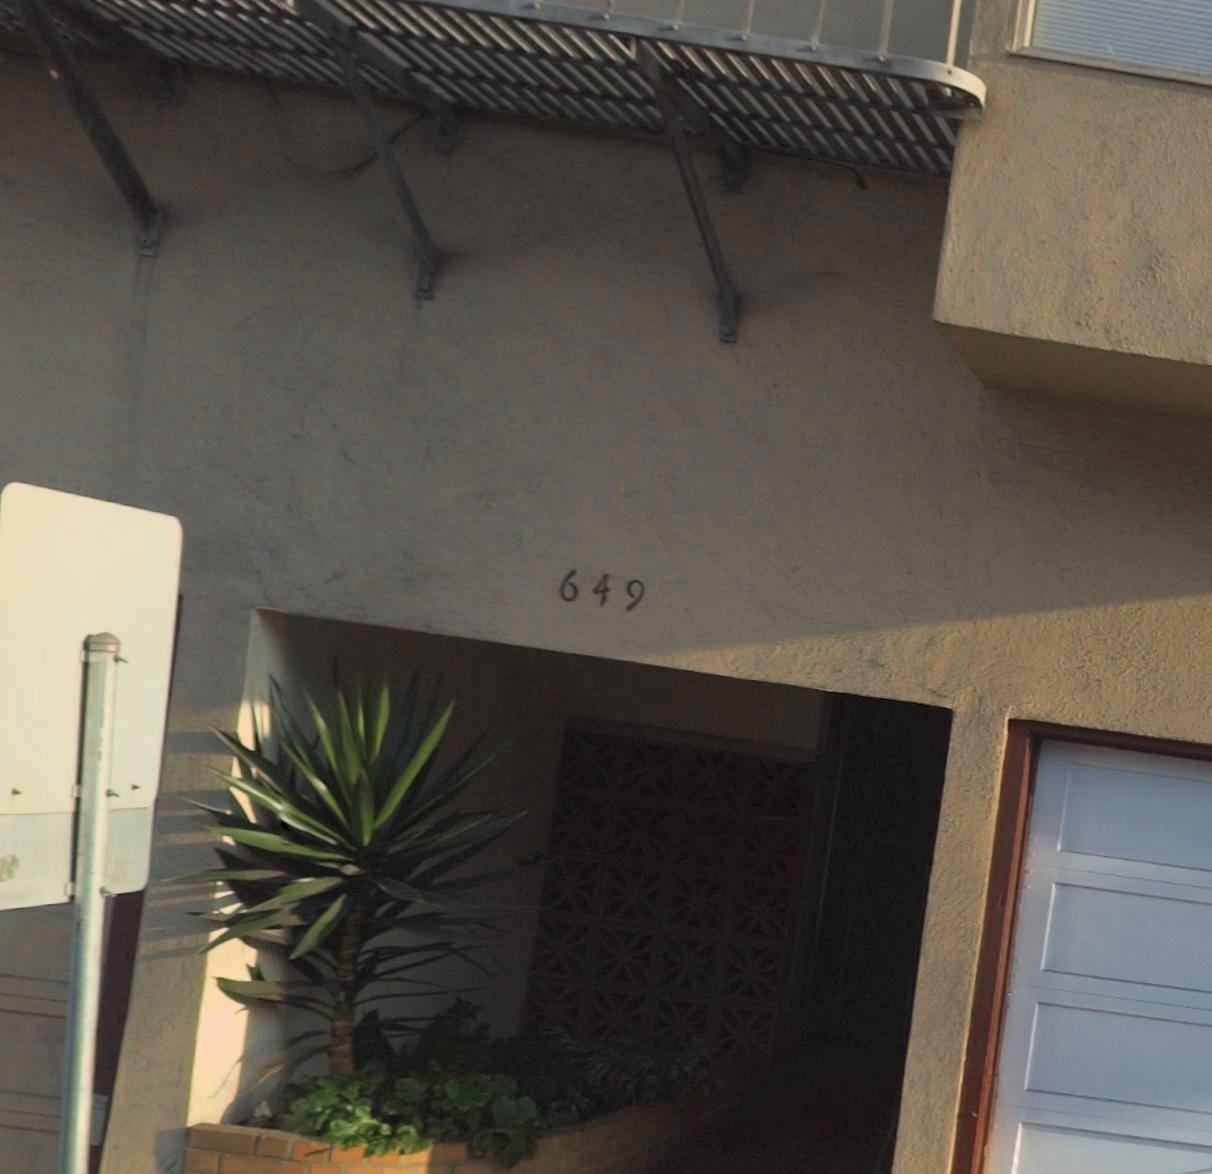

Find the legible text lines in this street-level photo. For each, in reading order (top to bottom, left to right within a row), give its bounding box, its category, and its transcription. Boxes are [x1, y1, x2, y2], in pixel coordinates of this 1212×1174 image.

[555, 561, 649, 617] StreetNumber: 649